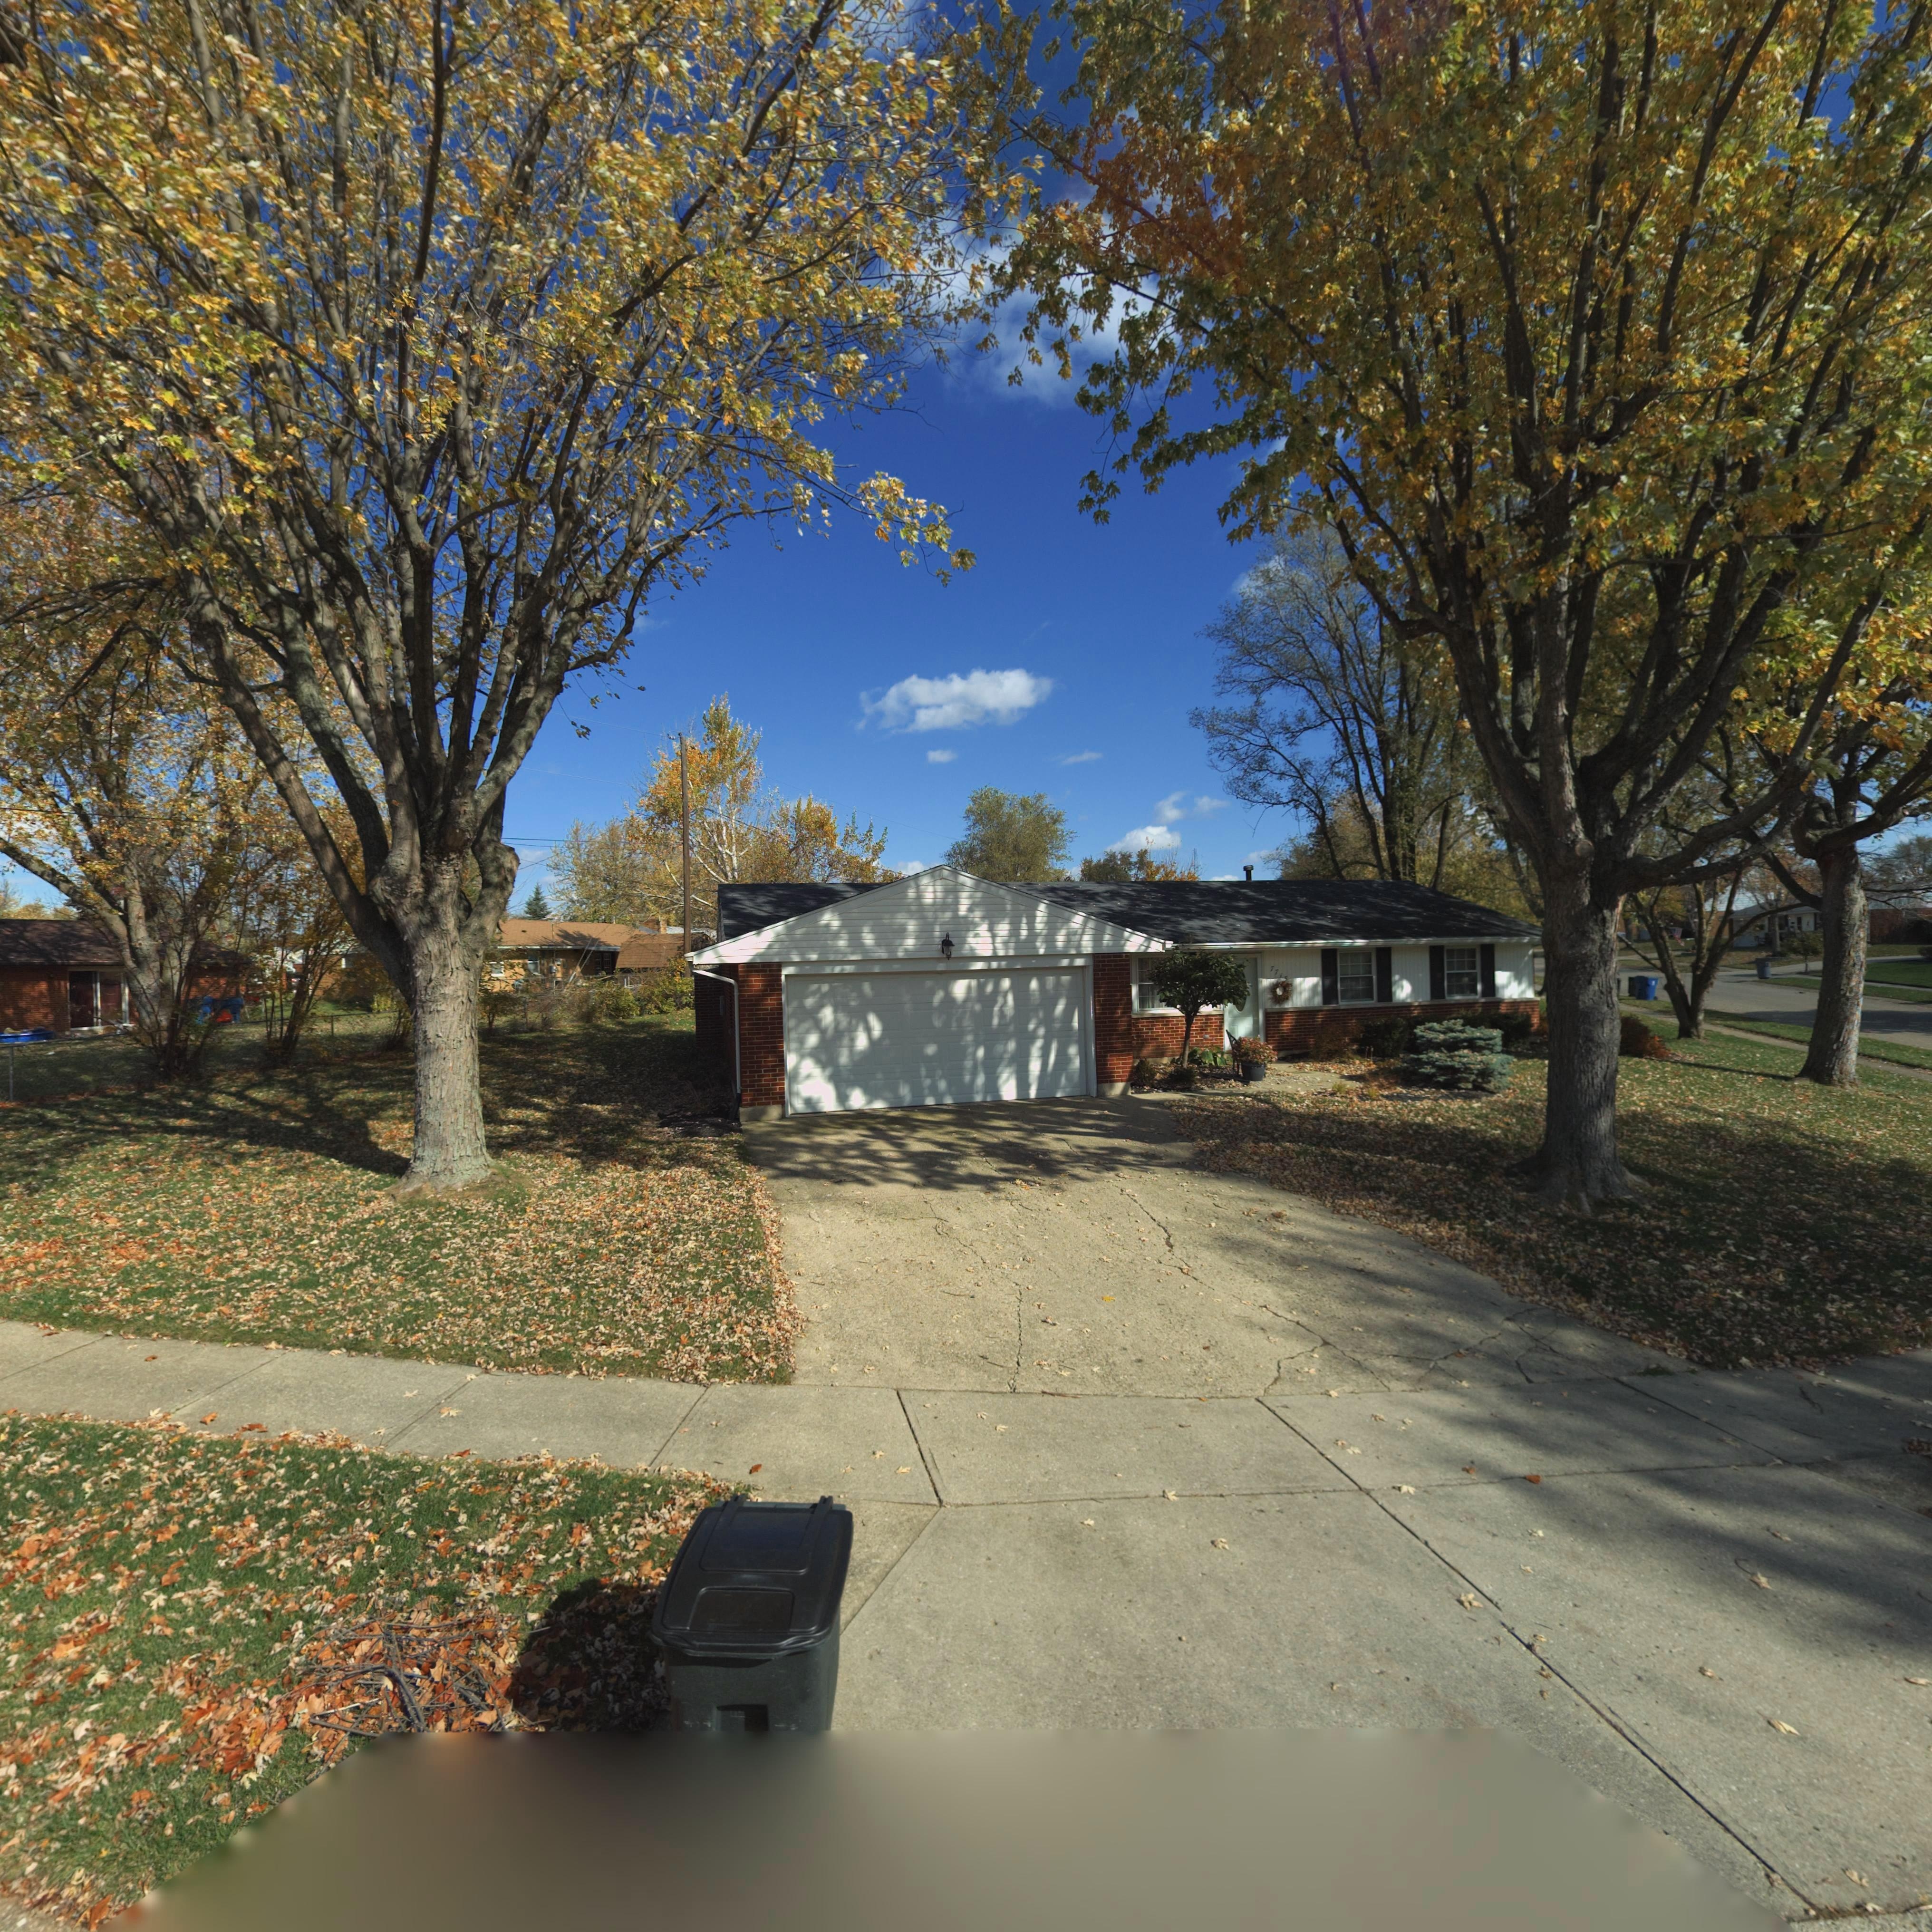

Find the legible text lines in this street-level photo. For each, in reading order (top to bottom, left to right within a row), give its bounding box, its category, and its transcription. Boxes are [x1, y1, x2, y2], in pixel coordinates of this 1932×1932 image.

[1269, 966, 1288, 983] StreetNumber: 7715